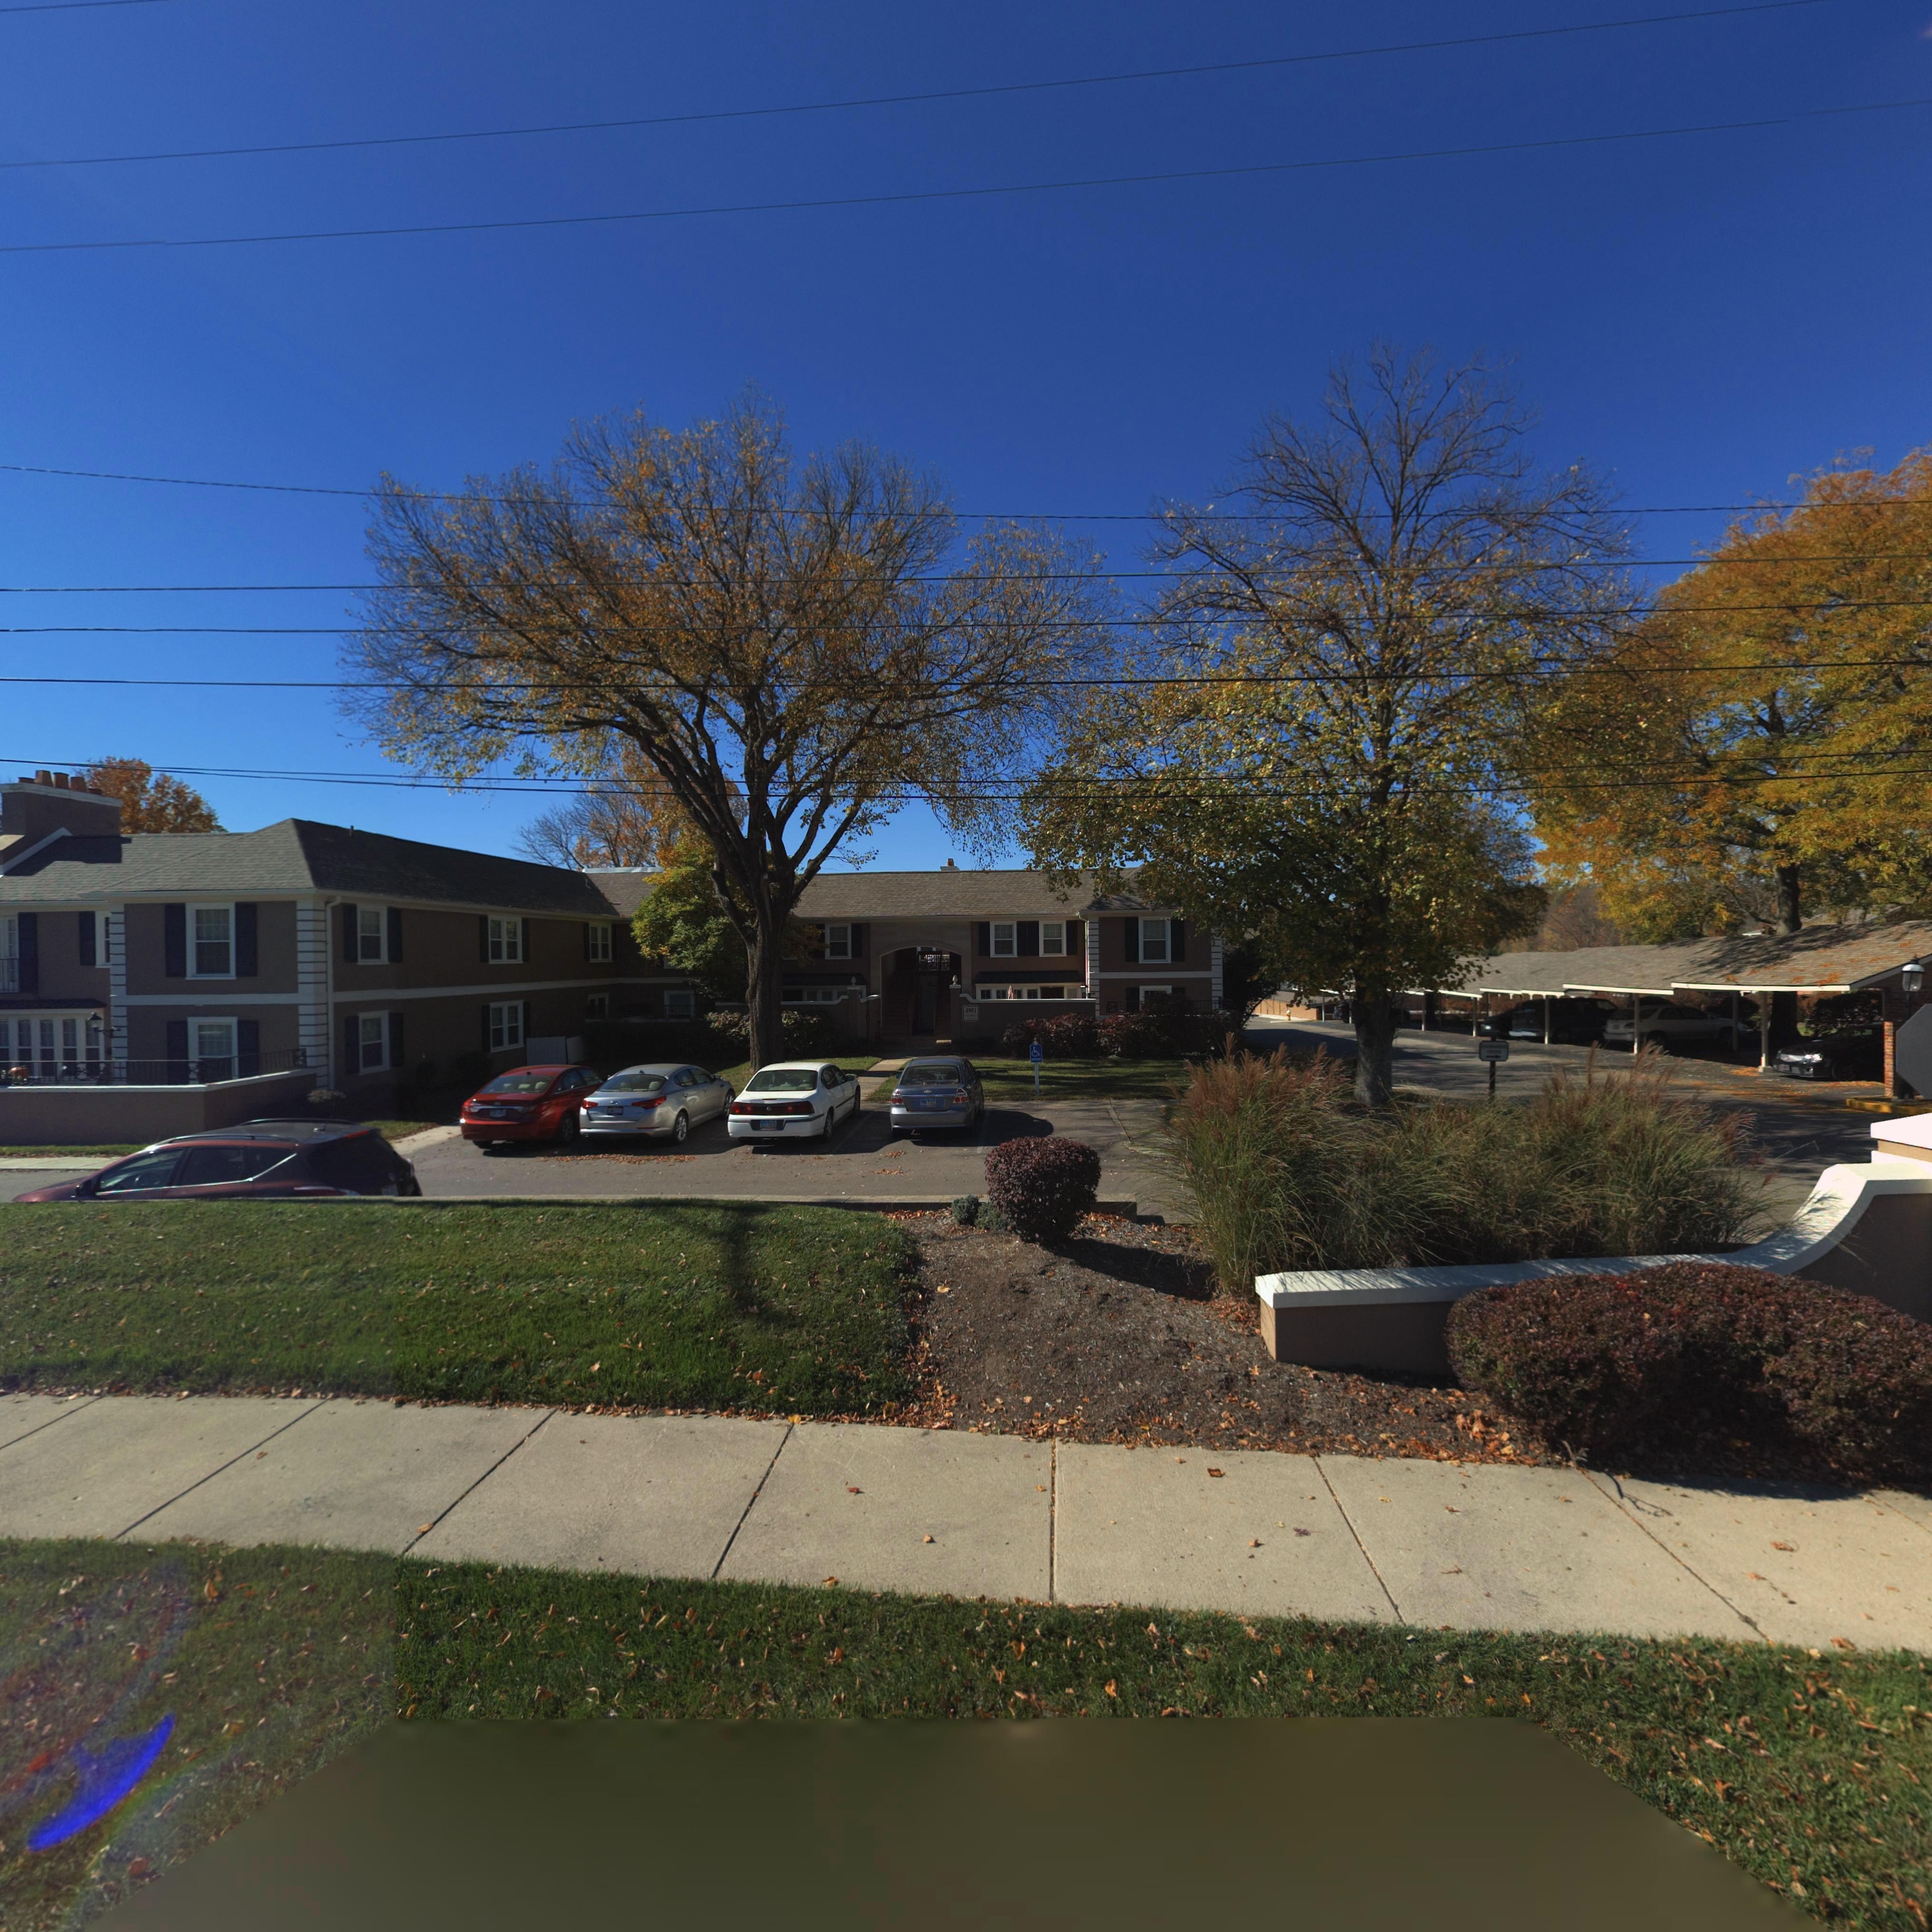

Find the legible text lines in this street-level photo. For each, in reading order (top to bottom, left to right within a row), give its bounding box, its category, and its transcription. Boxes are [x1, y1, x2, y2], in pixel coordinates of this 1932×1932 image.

[964, 1007, 977, 1014] StreetNumber: 4901